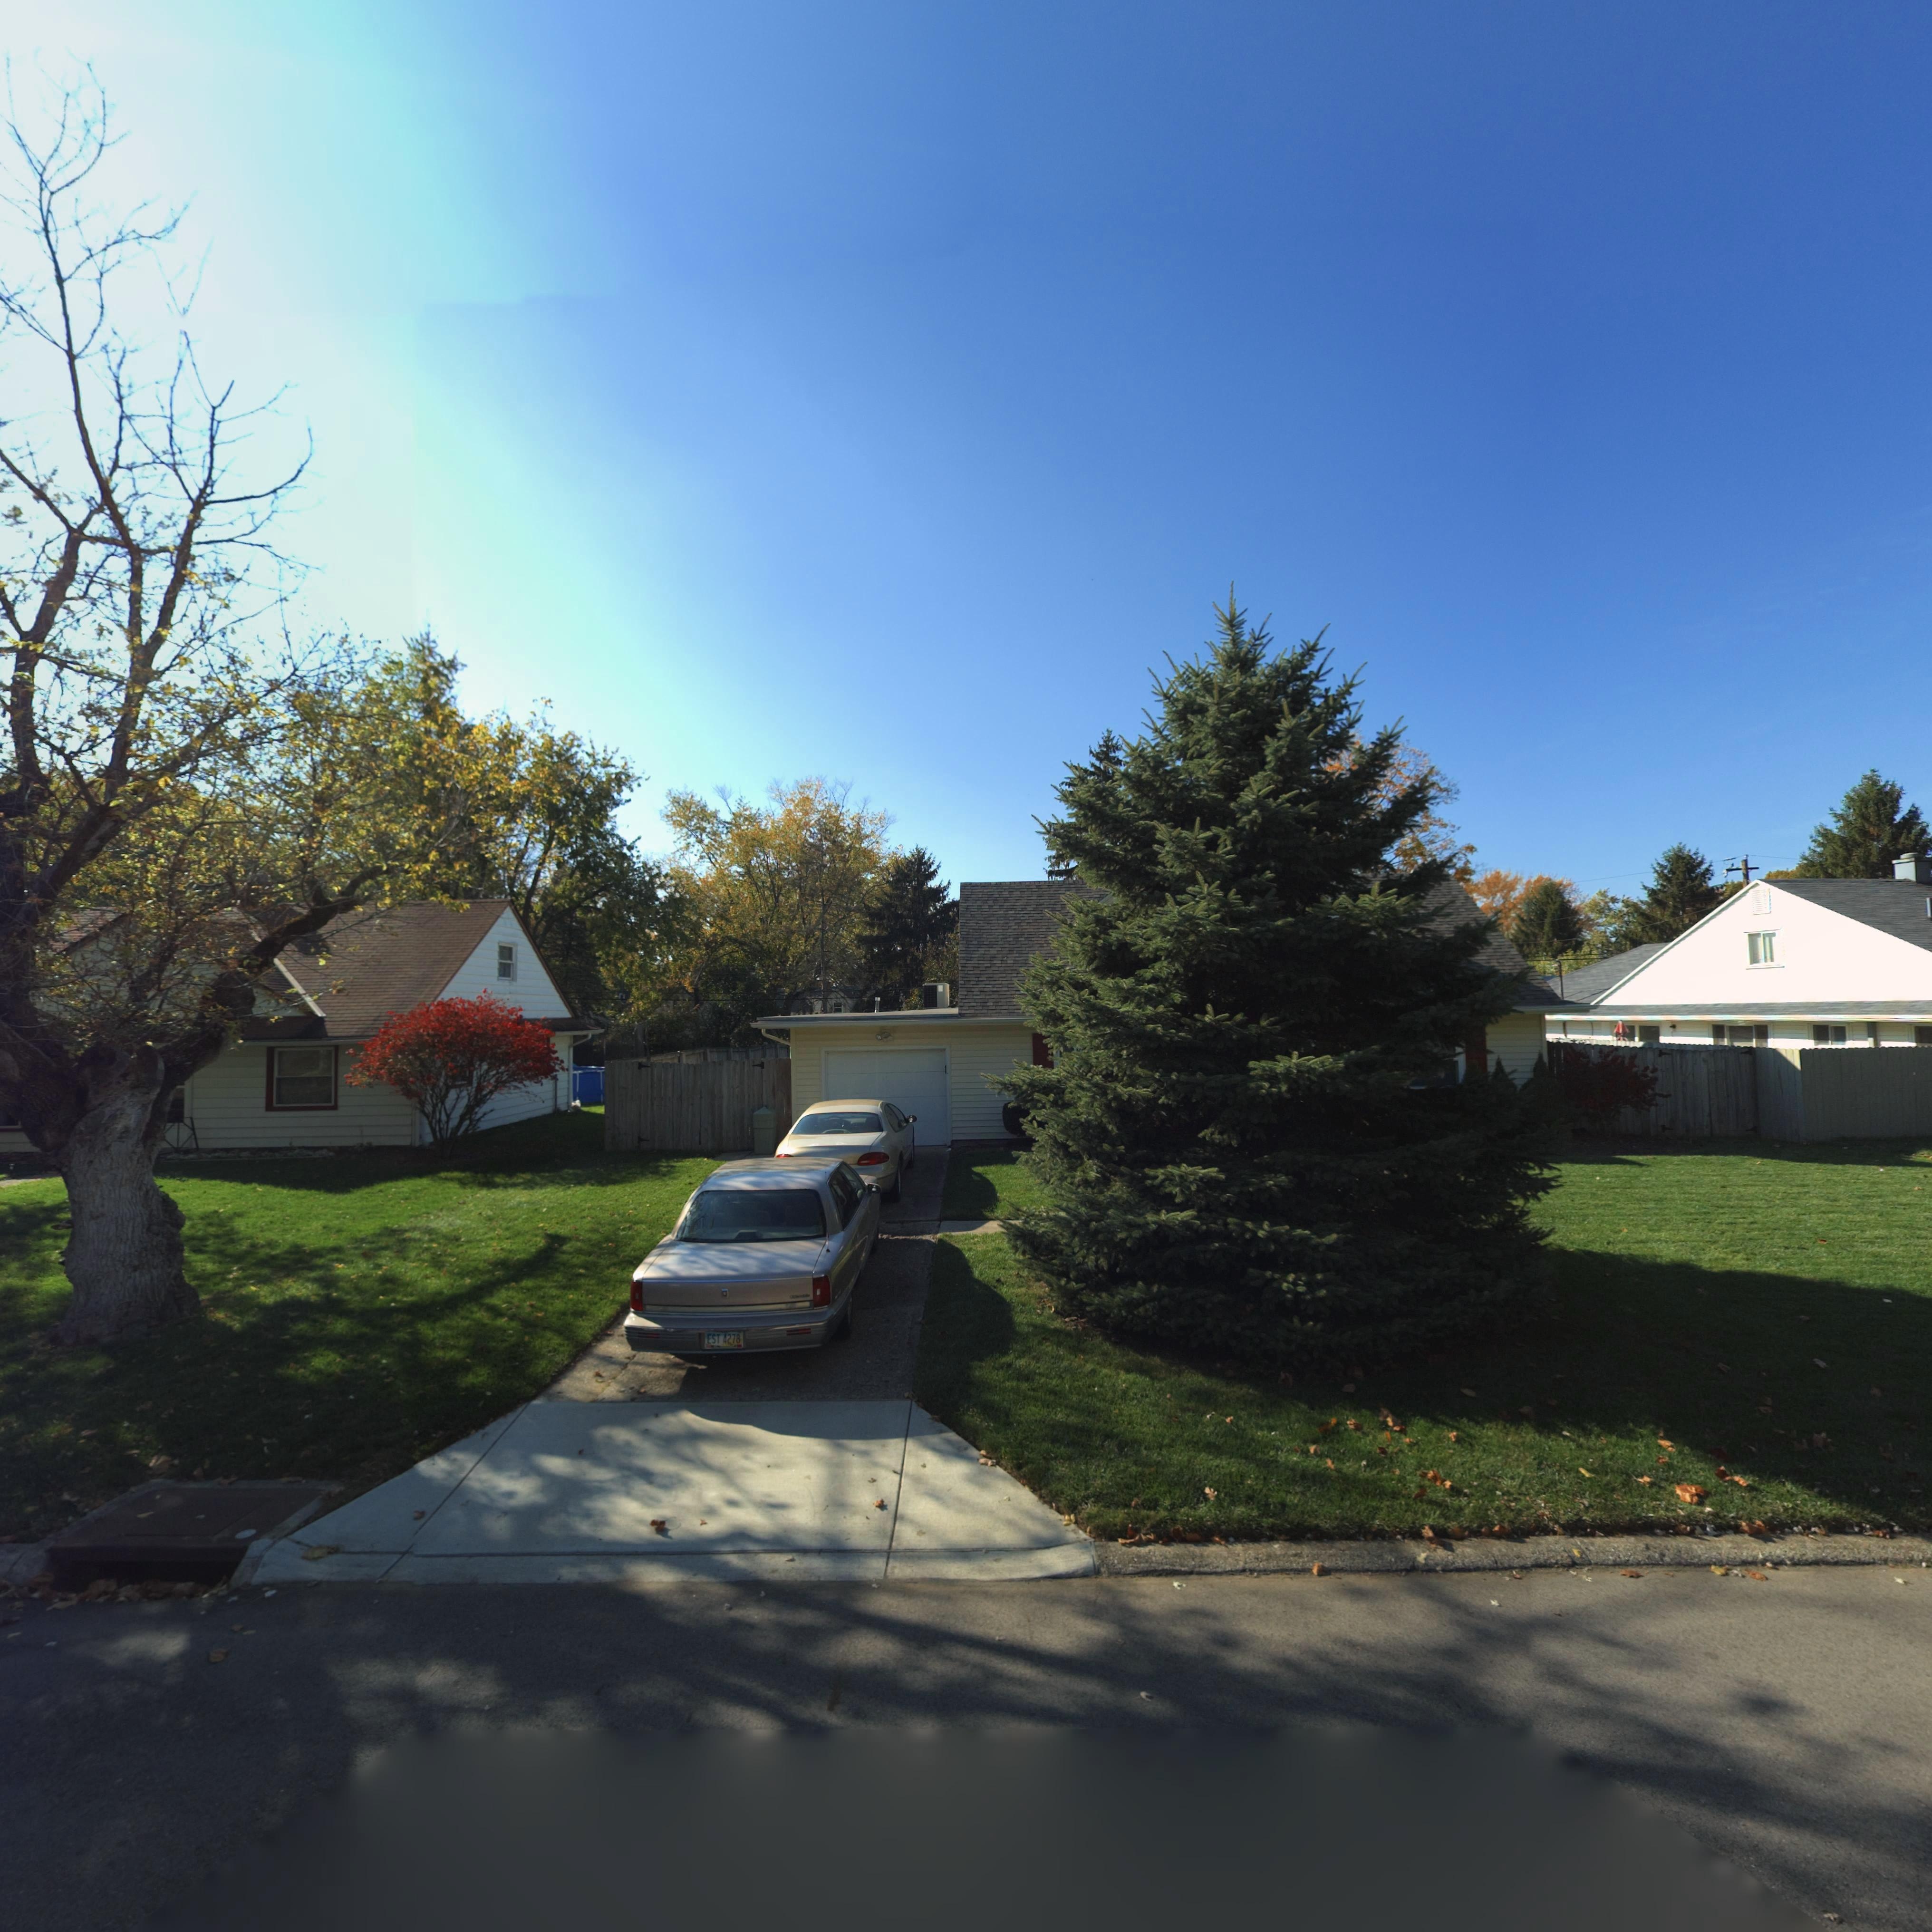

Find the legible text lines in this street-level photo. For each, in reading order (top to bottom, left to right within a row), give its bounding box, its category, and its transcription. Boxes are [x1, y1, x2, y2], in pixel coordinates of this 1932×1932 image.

[705, 1332, 741, 1345] None: EST 4278